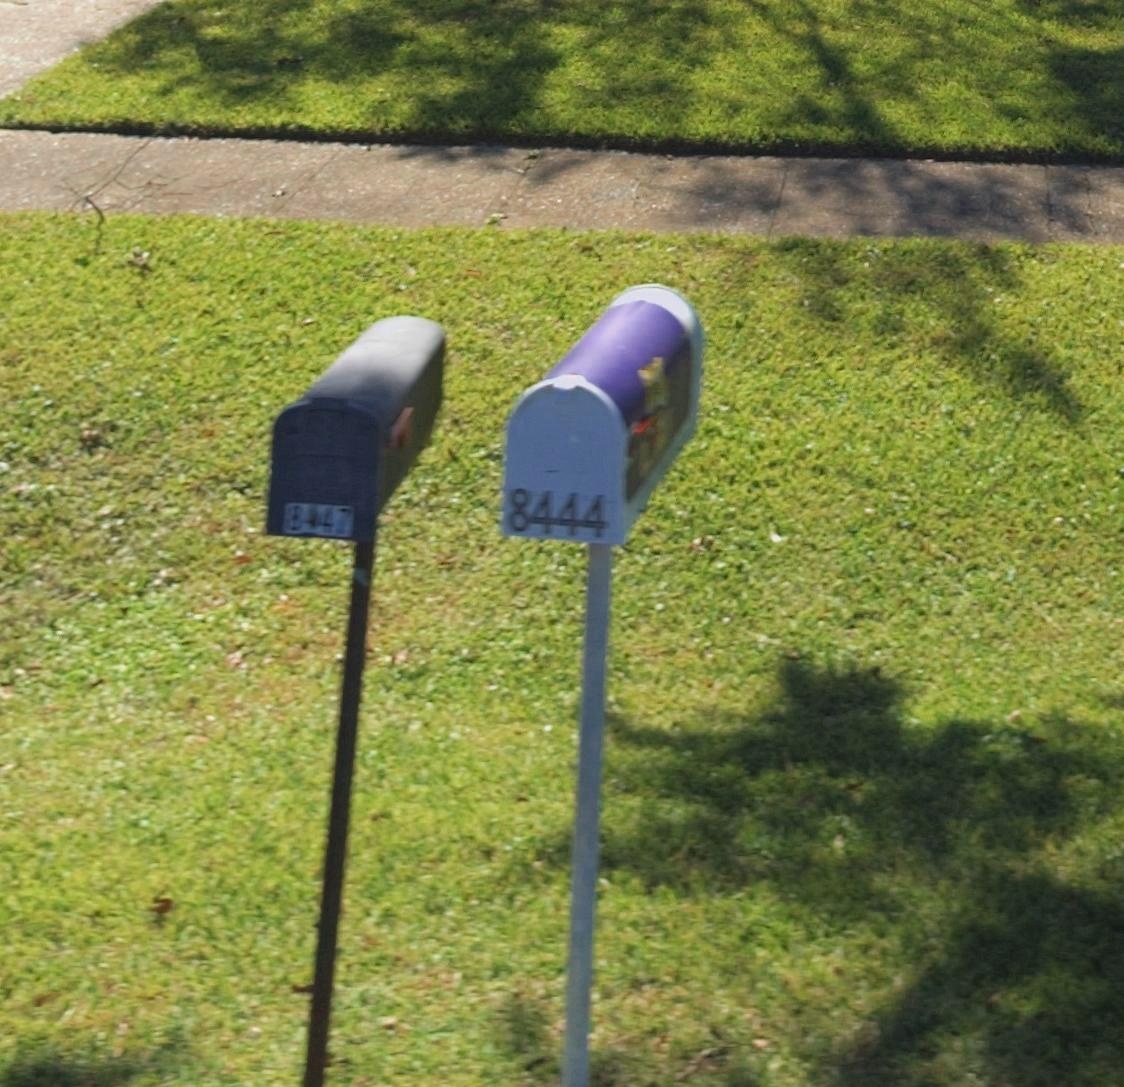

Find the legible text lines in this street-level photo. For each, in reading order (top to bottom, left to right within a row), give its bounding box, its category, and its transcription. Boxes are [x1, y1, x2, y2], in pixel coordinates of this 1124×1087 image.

[283, 500, 356, 538] StreetNumber: 8447
[505, 485, 614, 541] StreetNumber: 8444